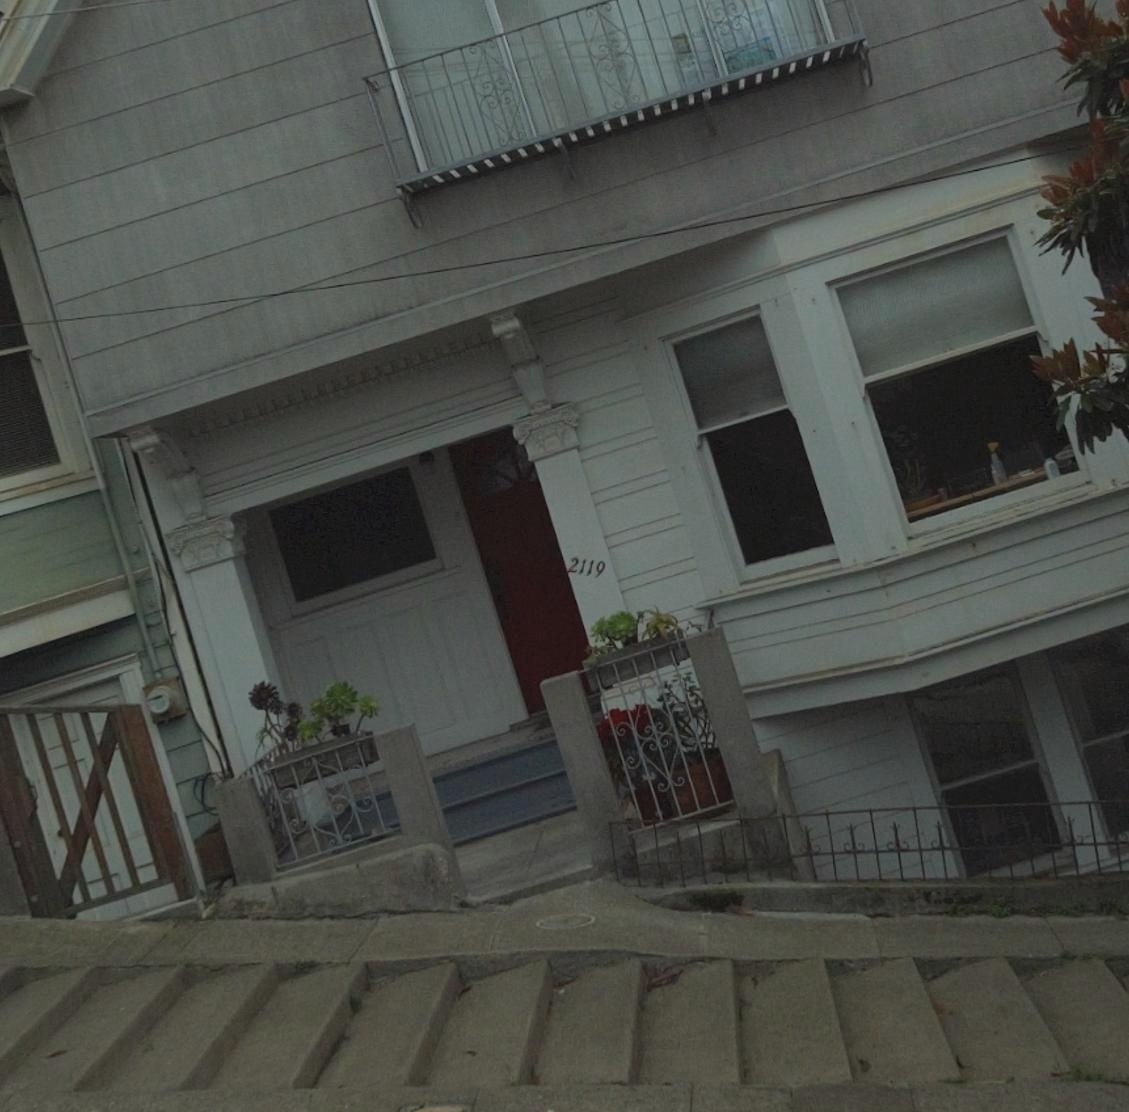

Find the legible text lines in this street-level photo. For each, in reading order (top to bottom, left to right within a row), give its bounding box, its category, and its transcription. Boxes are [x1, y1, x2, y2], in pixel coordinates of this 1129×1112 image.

[567, 556, 607, 580] StreetNumber: 2119